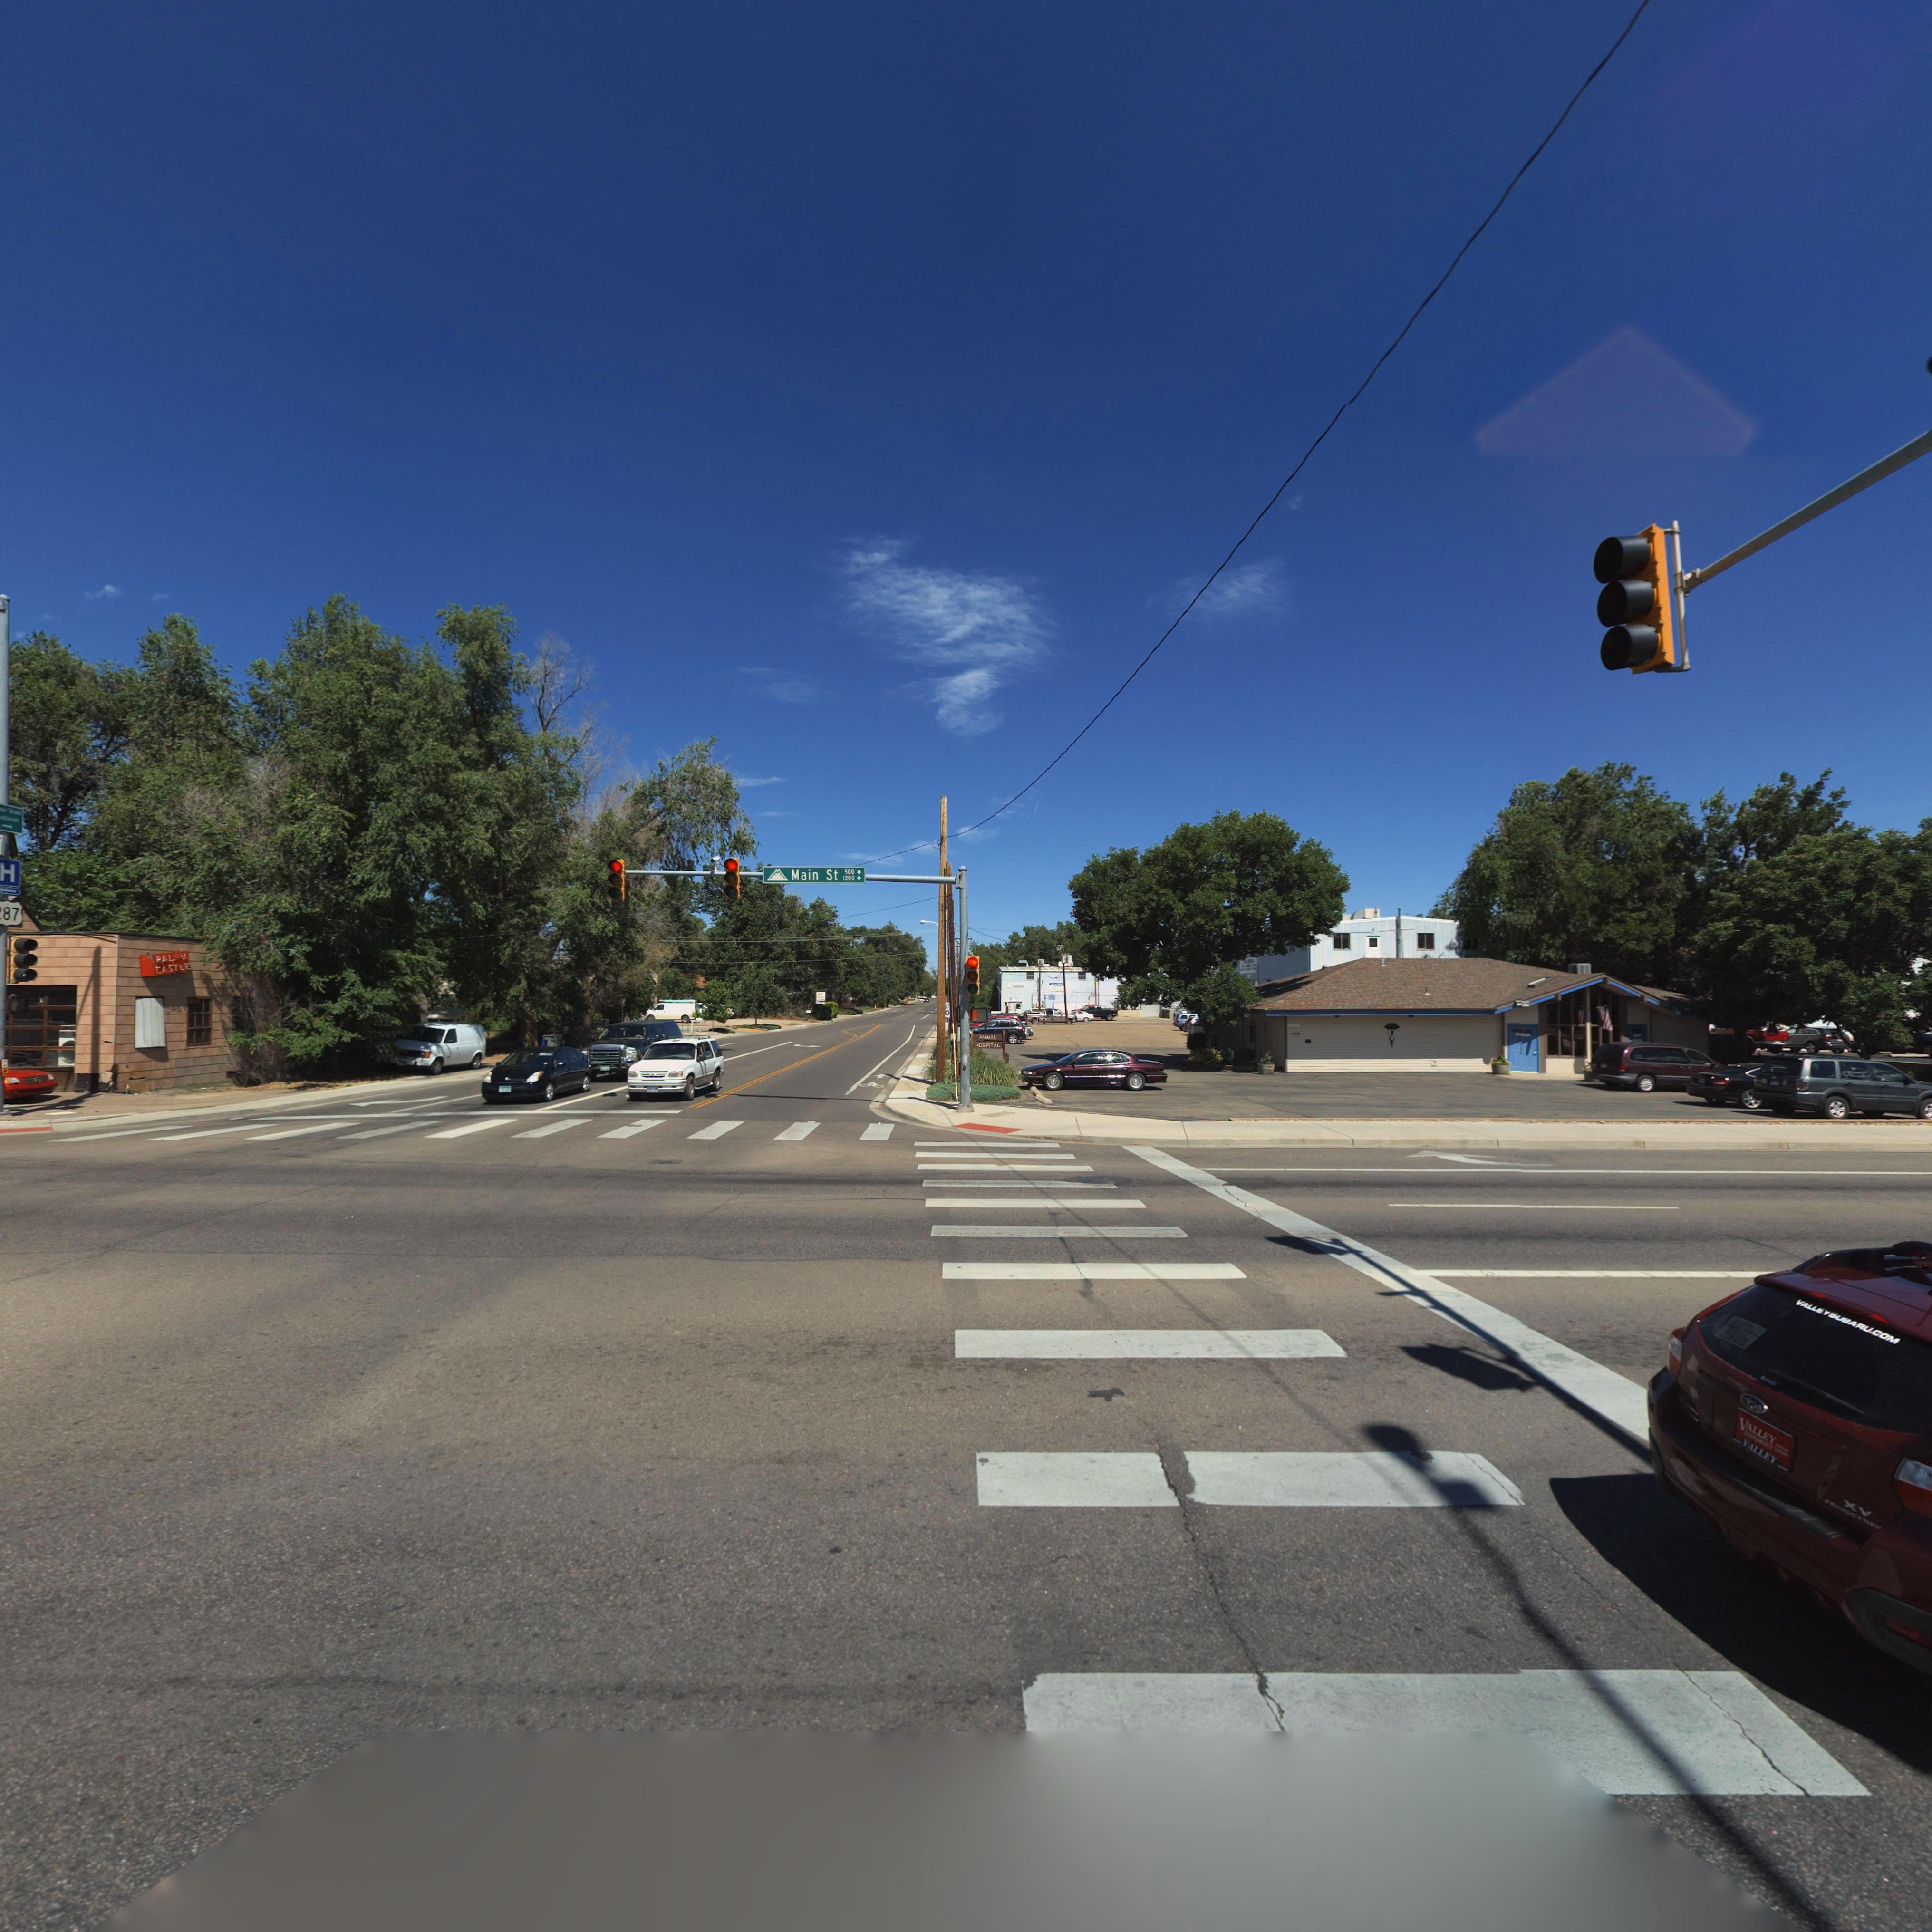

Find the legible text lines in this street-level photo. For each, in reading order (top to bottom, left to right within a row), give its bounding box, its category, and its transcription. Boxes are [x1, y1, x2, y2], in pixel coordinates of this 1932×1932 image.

[791, 869, 838, 881] StreetName: Main St
[844, 868, 855, 875] StreetNumberRange: 500
[842, 875, 862, 880] StreetNumberRange: 1200->
[155, 952, 187, 963] BusinessName: RAL*H
[154, 961, 191, 975] BusinessName: CASTLE
[1289, 1032, 1300, 1035] StreetNumber: 1***